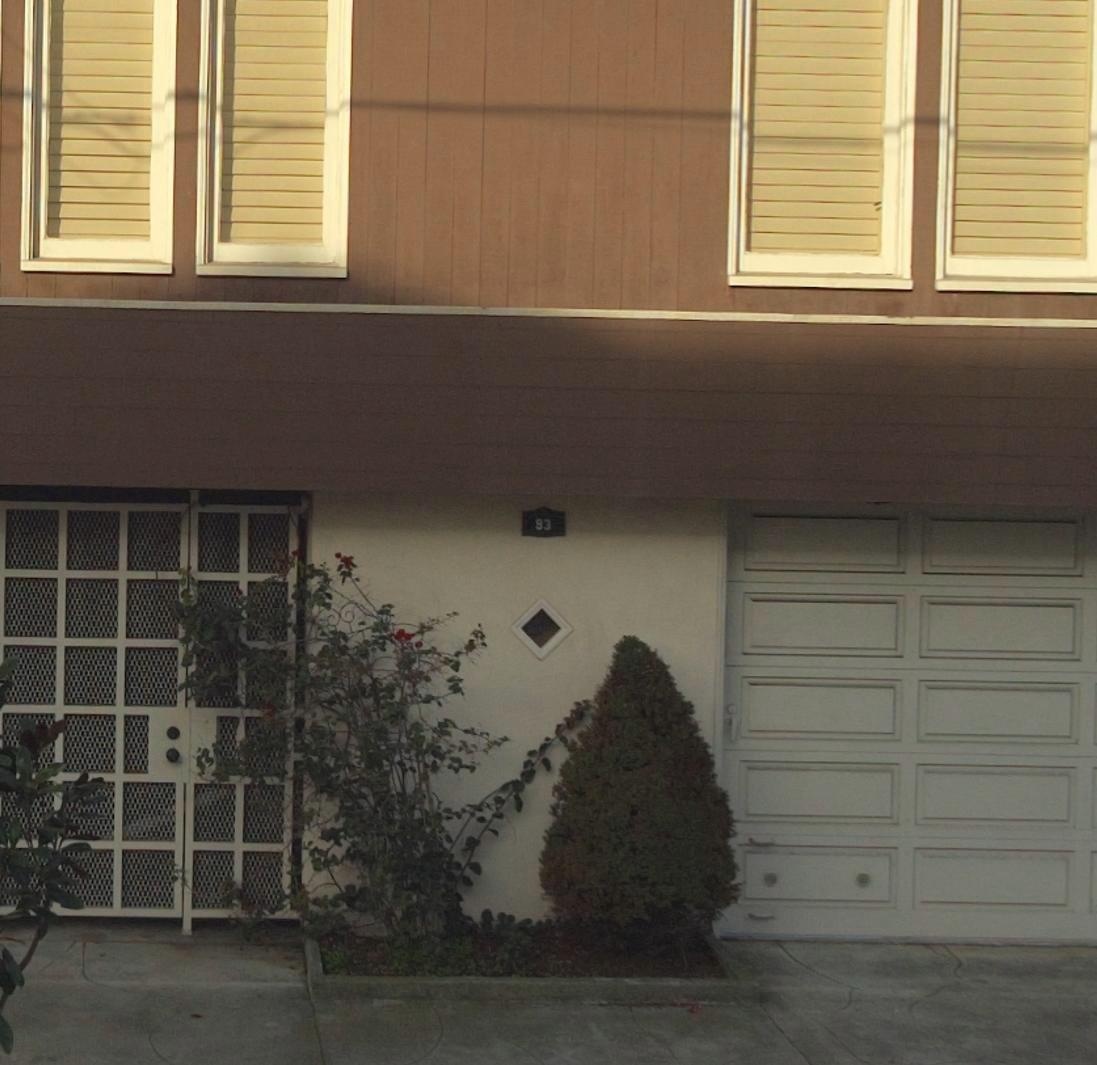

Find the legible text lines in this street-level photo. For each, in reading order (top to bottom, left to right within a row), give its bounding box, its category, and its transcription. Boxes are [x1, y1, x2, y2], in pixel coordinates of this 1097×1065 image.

[533, 516, 554, 533] StreetNumber: 93